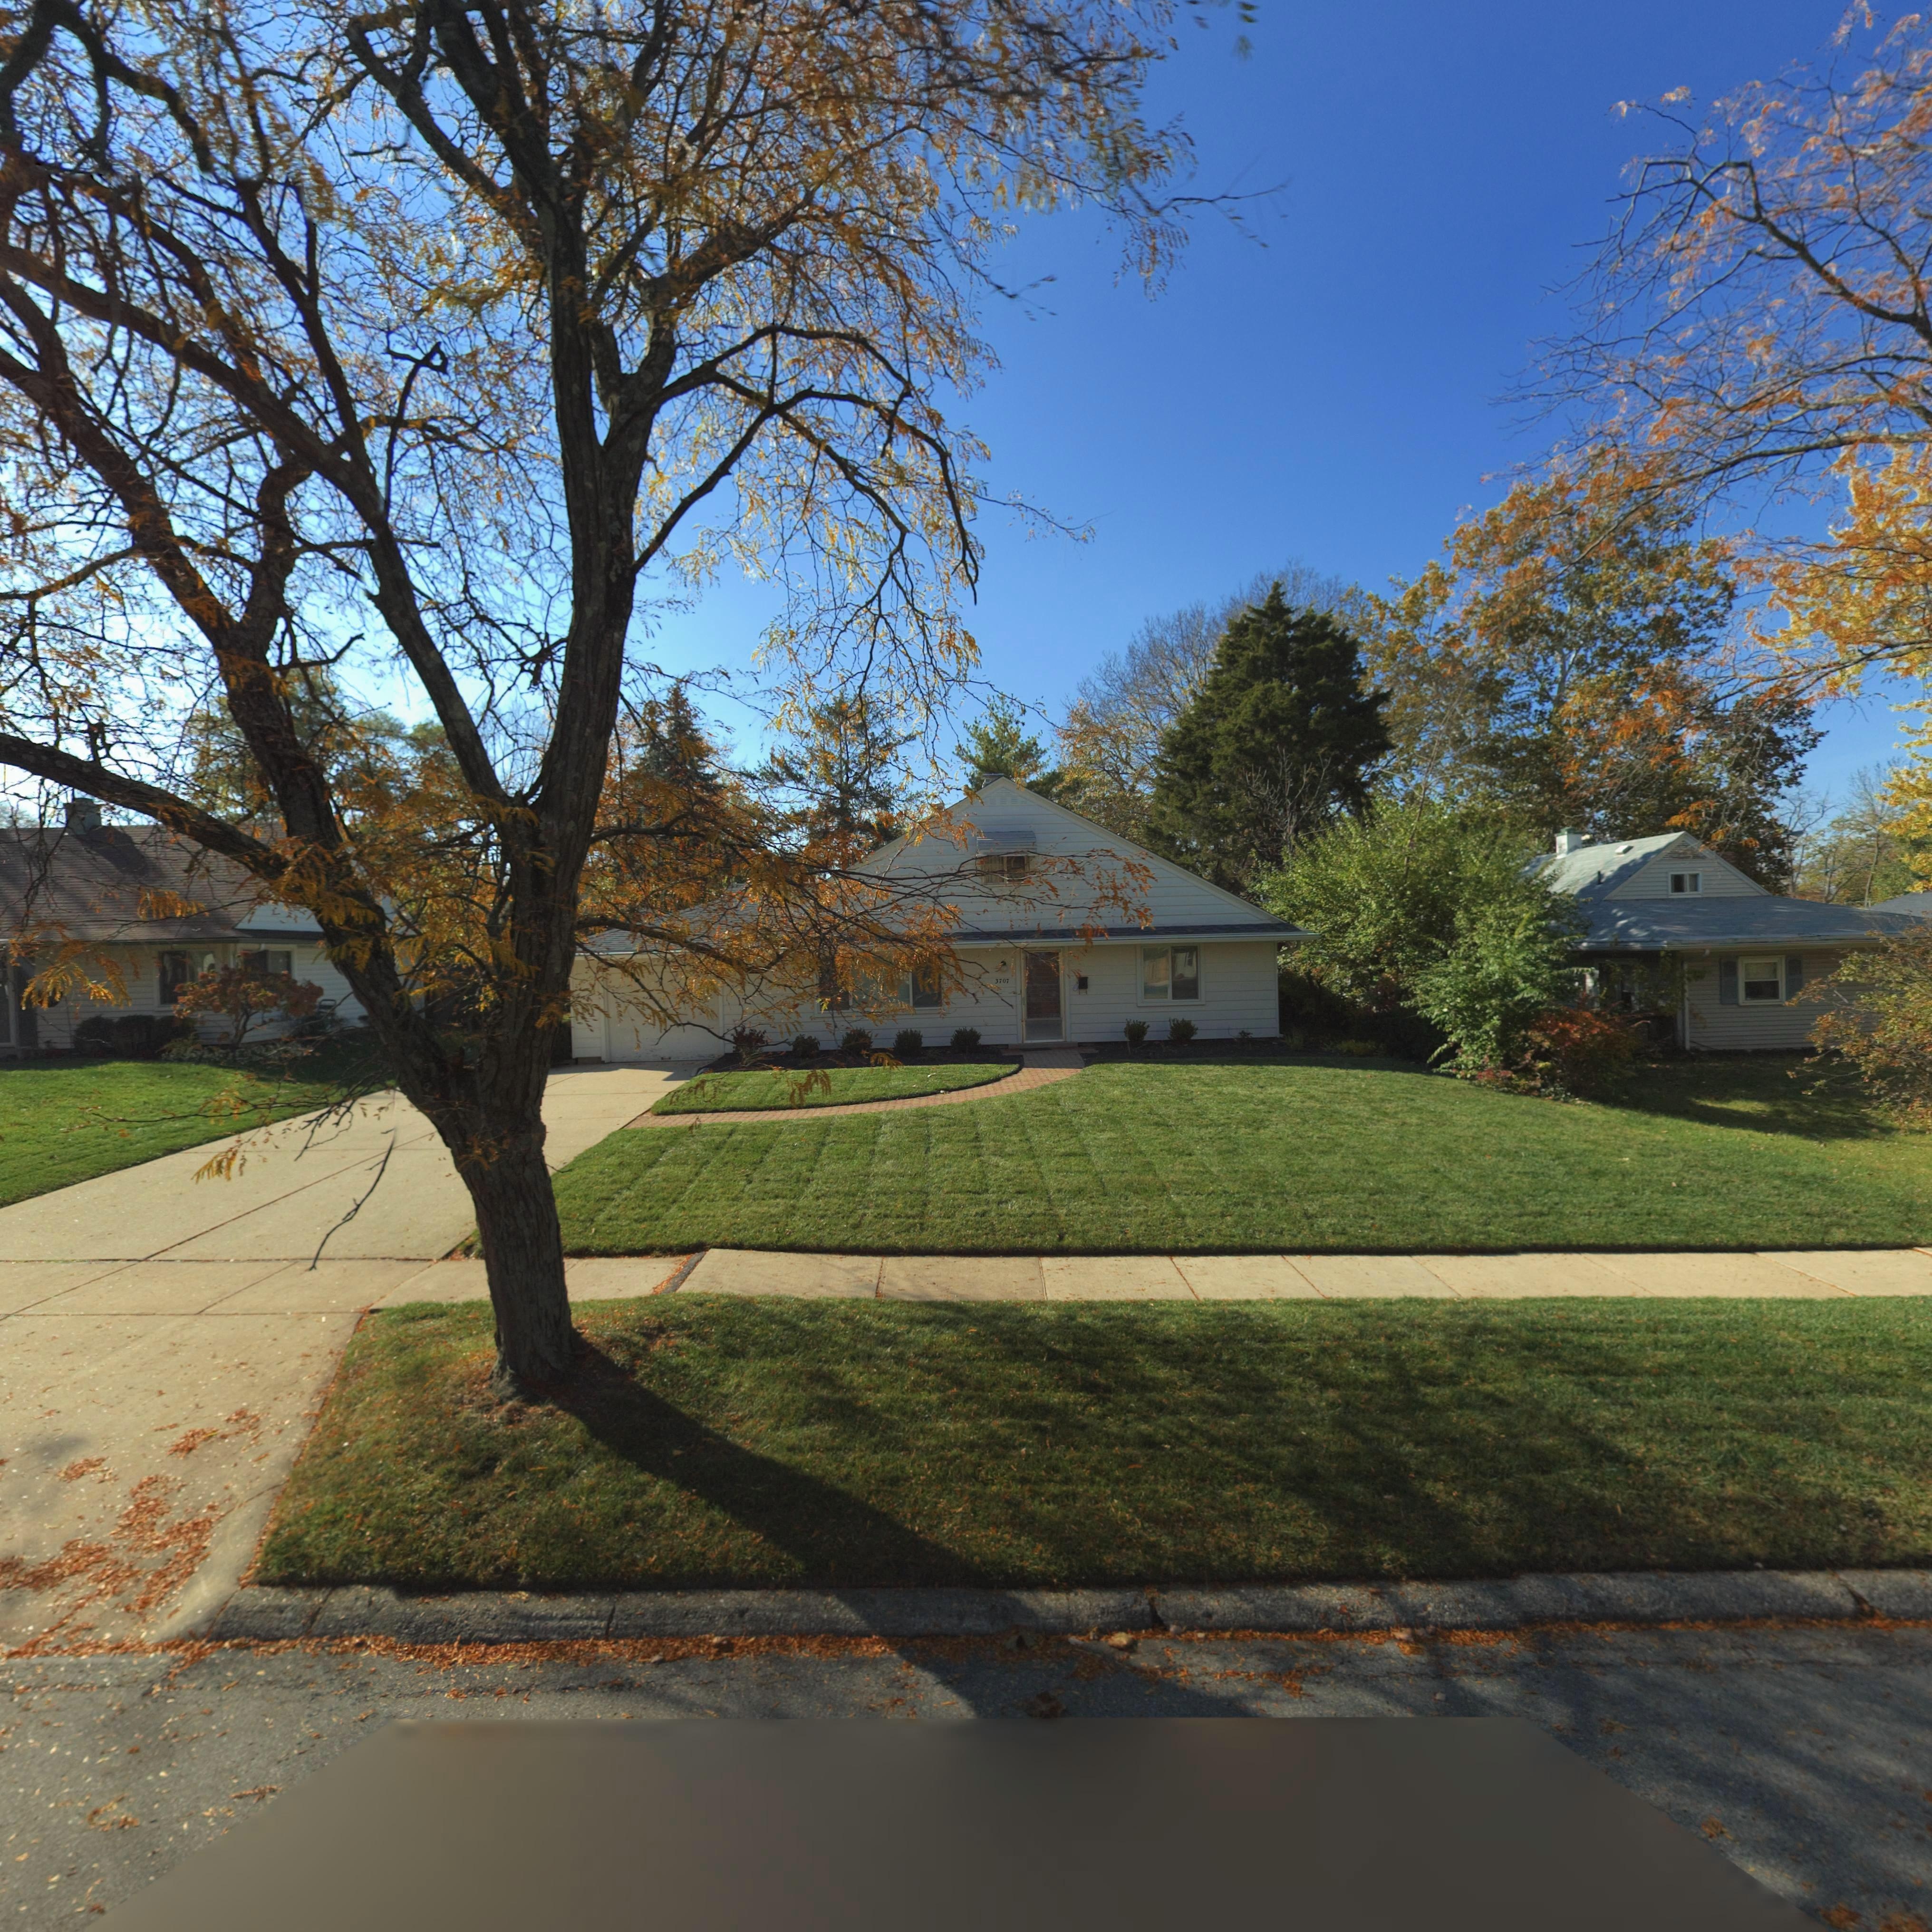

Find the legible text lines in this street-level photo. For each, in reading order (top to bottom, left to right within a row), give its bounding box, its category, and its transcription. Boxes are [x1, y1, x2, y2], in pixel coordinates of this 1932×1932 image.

[994, 978, 1010, 984] StreetNumber: 3707